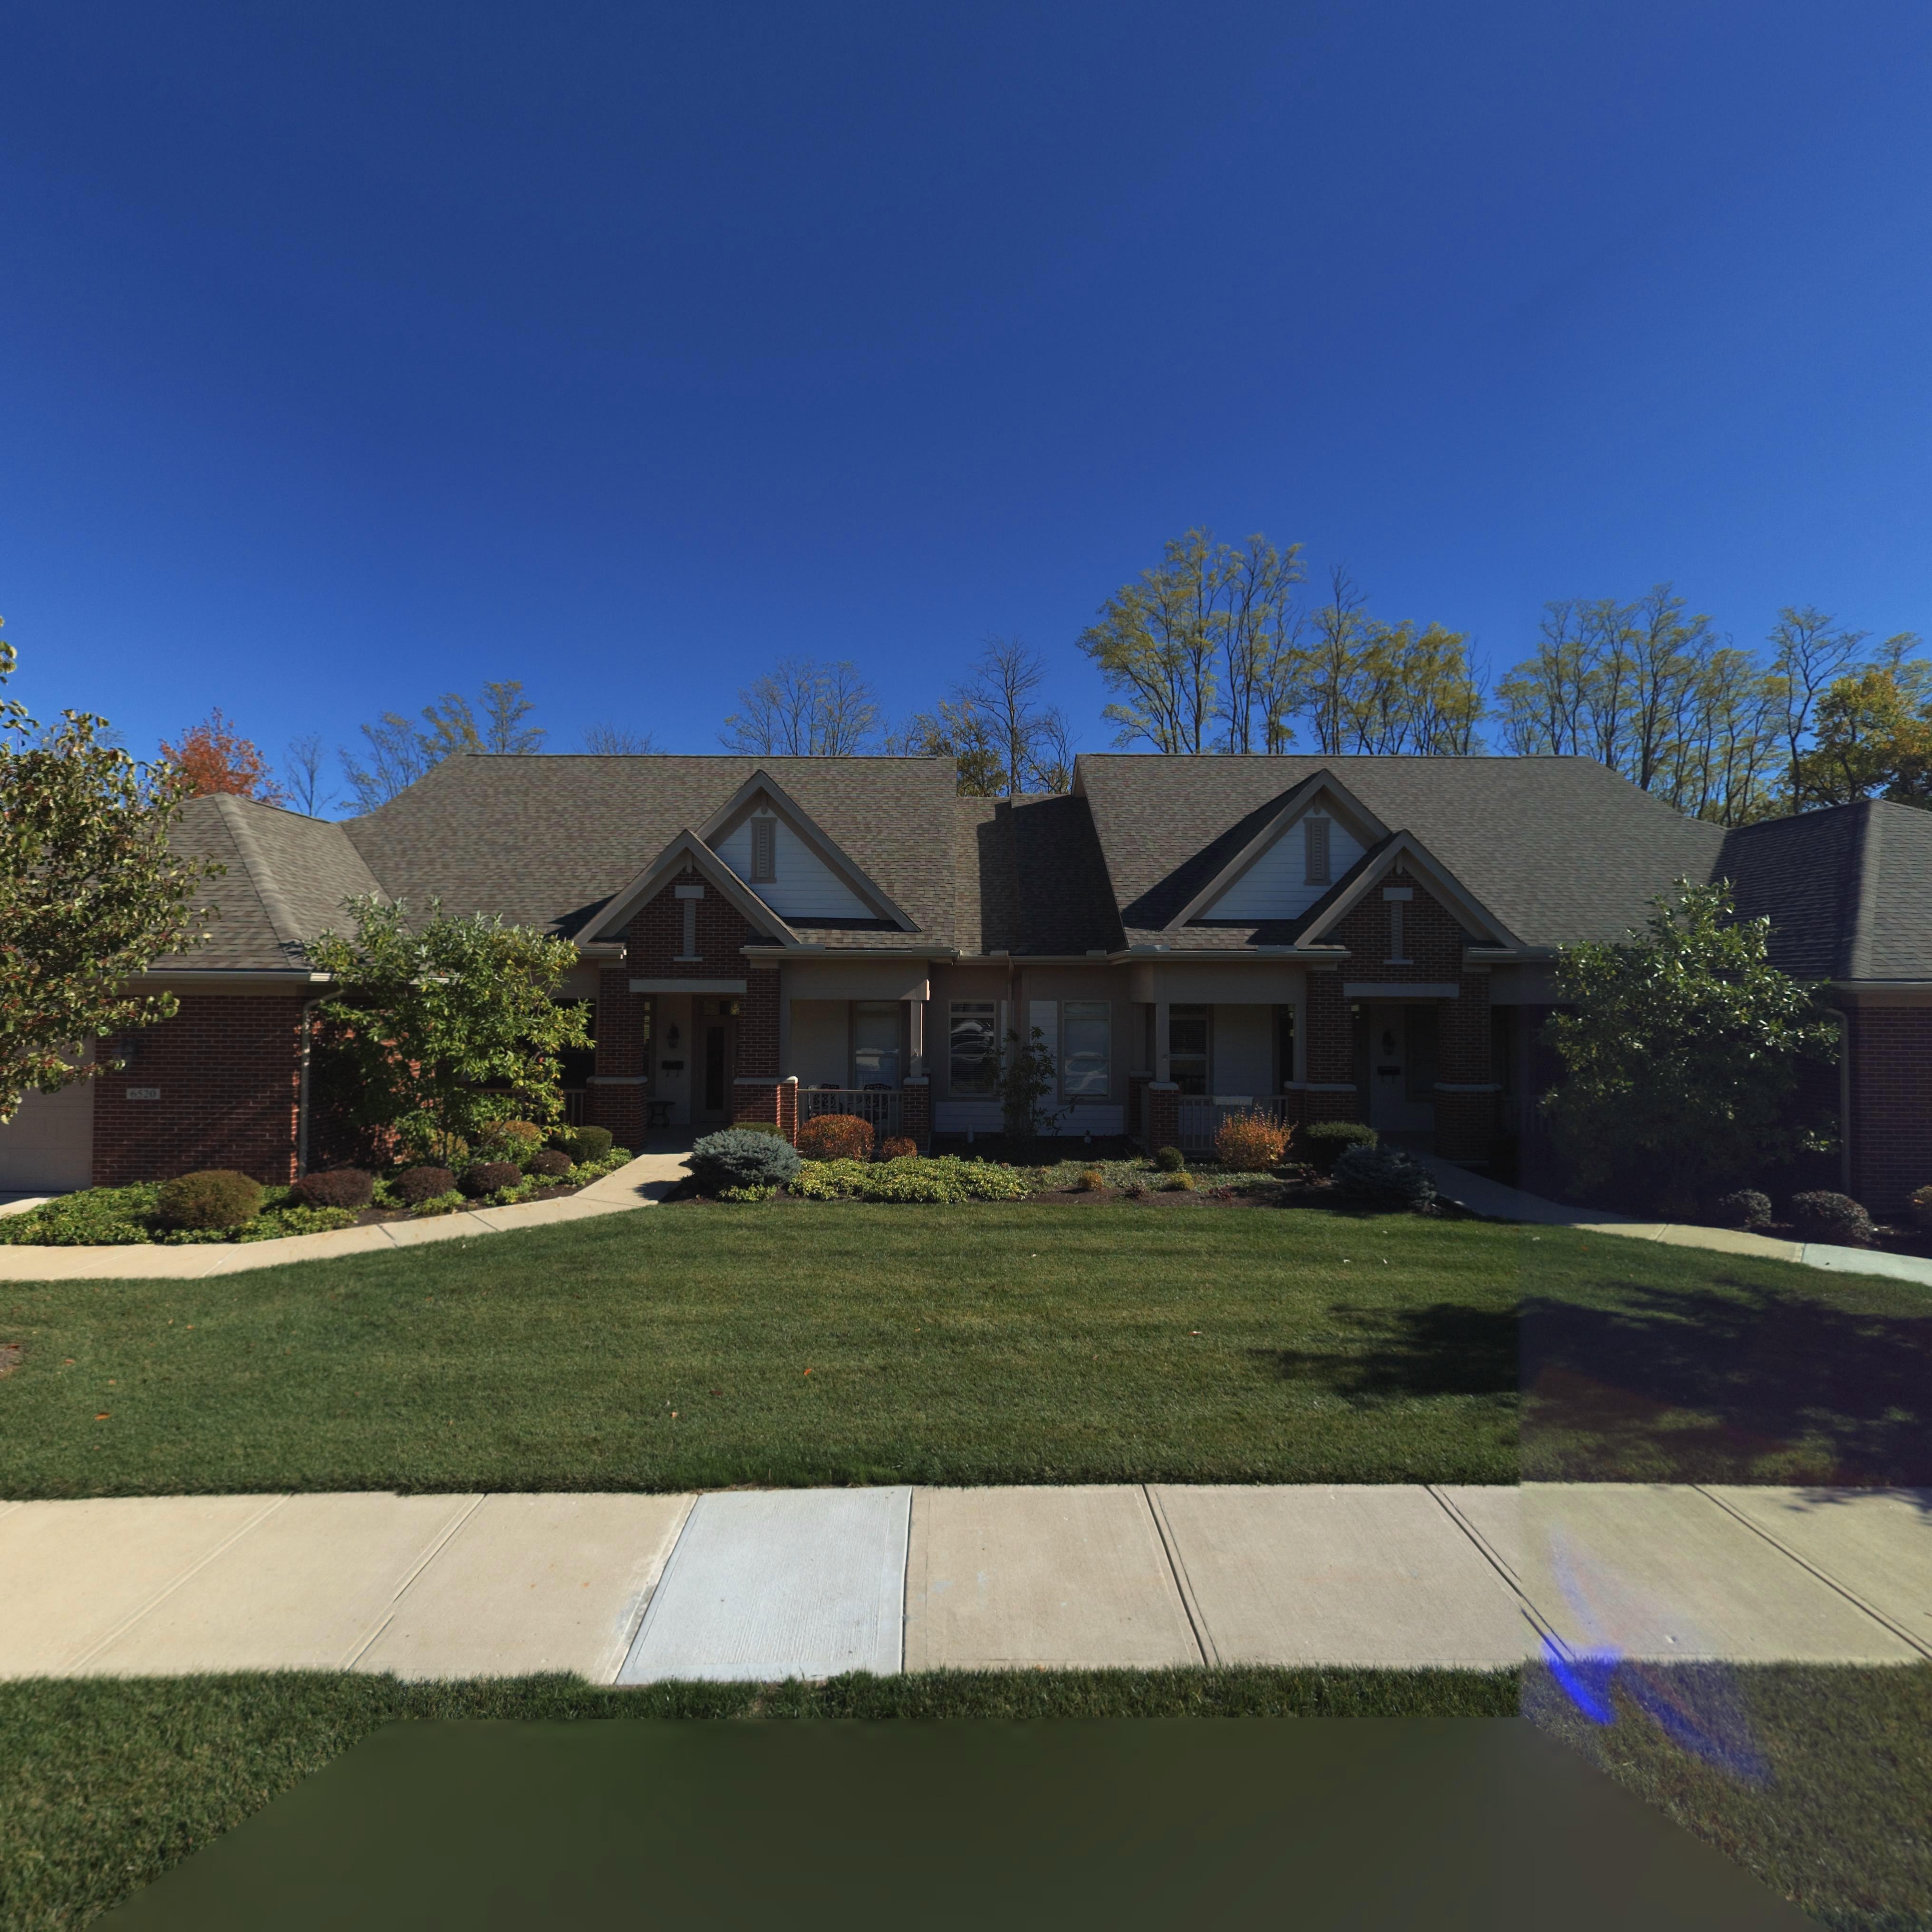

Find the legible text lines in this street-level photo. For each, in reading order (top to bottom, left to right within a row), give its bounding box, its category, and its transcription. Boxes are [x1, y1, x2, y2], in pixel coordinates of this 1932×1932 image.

[129, 1089, 157, 1099] StreetNumber: 6520